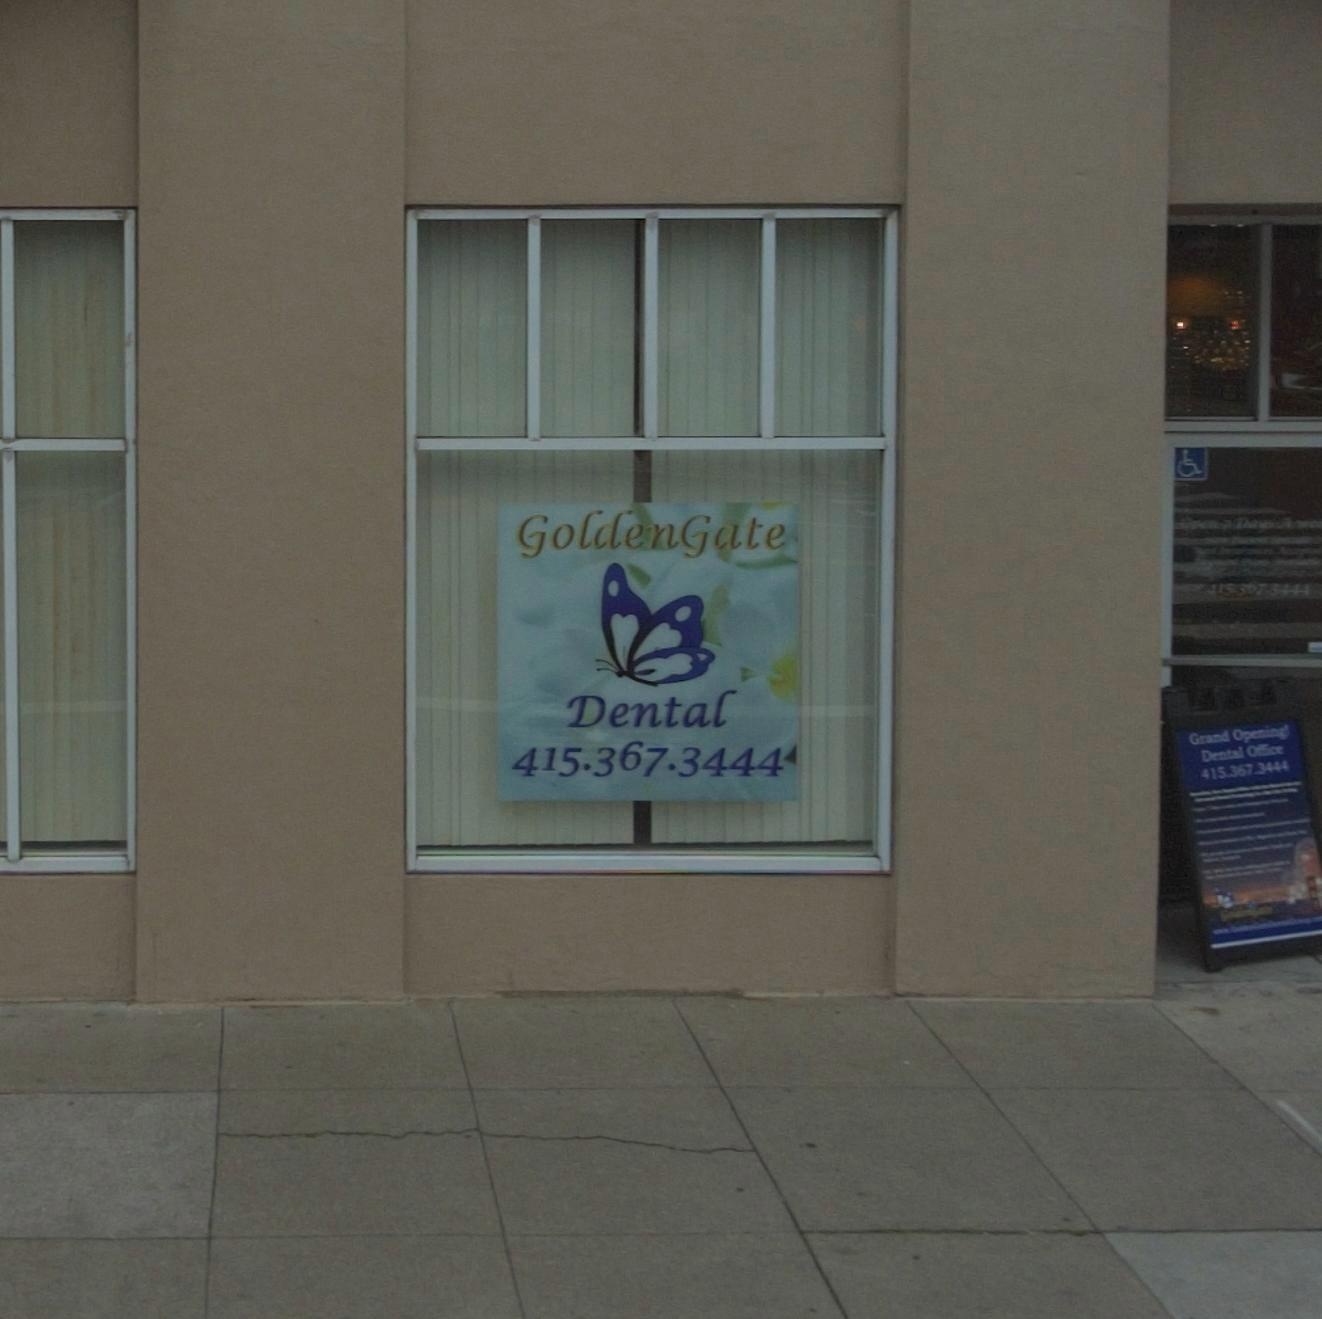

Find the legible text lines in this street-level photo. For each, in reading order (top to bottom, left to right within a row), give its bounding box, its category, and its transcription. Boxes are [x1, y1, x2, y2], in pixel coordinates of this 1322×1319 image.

[515, 506, 789, 561] BusinessName: GoldenGate
[1203, 581, 1314, 600] None: 415-367-3444
[563, 687, 741, 731] BusinessName: Dental
[1185, 721, 1293, 748] None: Grand Opening!
[508, 738, 787, 781] None: 415*367*3444
[1197, 740, 1291, 766] None: Dental Office
[1198, 756, 1293, 783] None: 415.367.3444